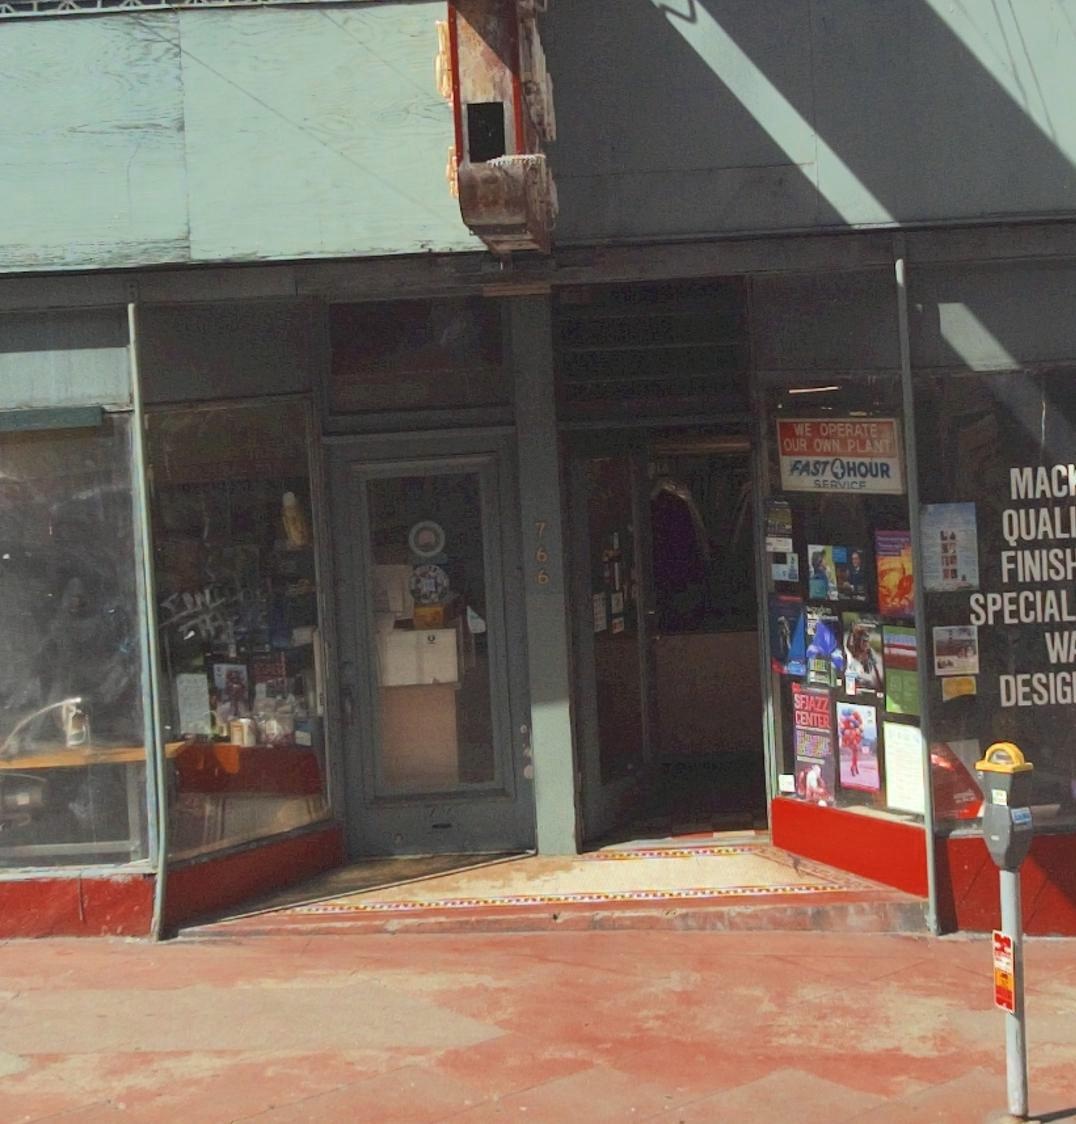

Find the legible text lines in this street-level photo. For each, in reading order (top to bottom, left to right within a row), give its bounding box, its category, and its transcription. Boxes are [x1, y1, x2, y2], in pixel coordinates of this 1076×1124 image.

[791, 423, 879, 439] None: WE OPERATE
[782, 437, 891, 454] None: OUR OWN PLANT
[786, 459, 833, 477] None: FAST
[831, 459, 845, 478] None: 4
[846, 461, 892, 479] None: HOUR
[812, 479, 867, 491] None: SERVICE
[1009, 463, 1068, 501] None: MAC
[999, 506, 1071, 549] None: QUAL
[534, 521, 550, 586] StreetNumber: 766
[1000, 546, 1069, 585] None: FINIS
[966, 588, 1075, 627] None: SPECIAL
[1043, 629, 1072, 665] None: W
[998, 671, 1072, 708] None: DESIG
[793, 693, 833, 713] None: SFJAZZ
[793, 710, 831, 730] None: CENTER